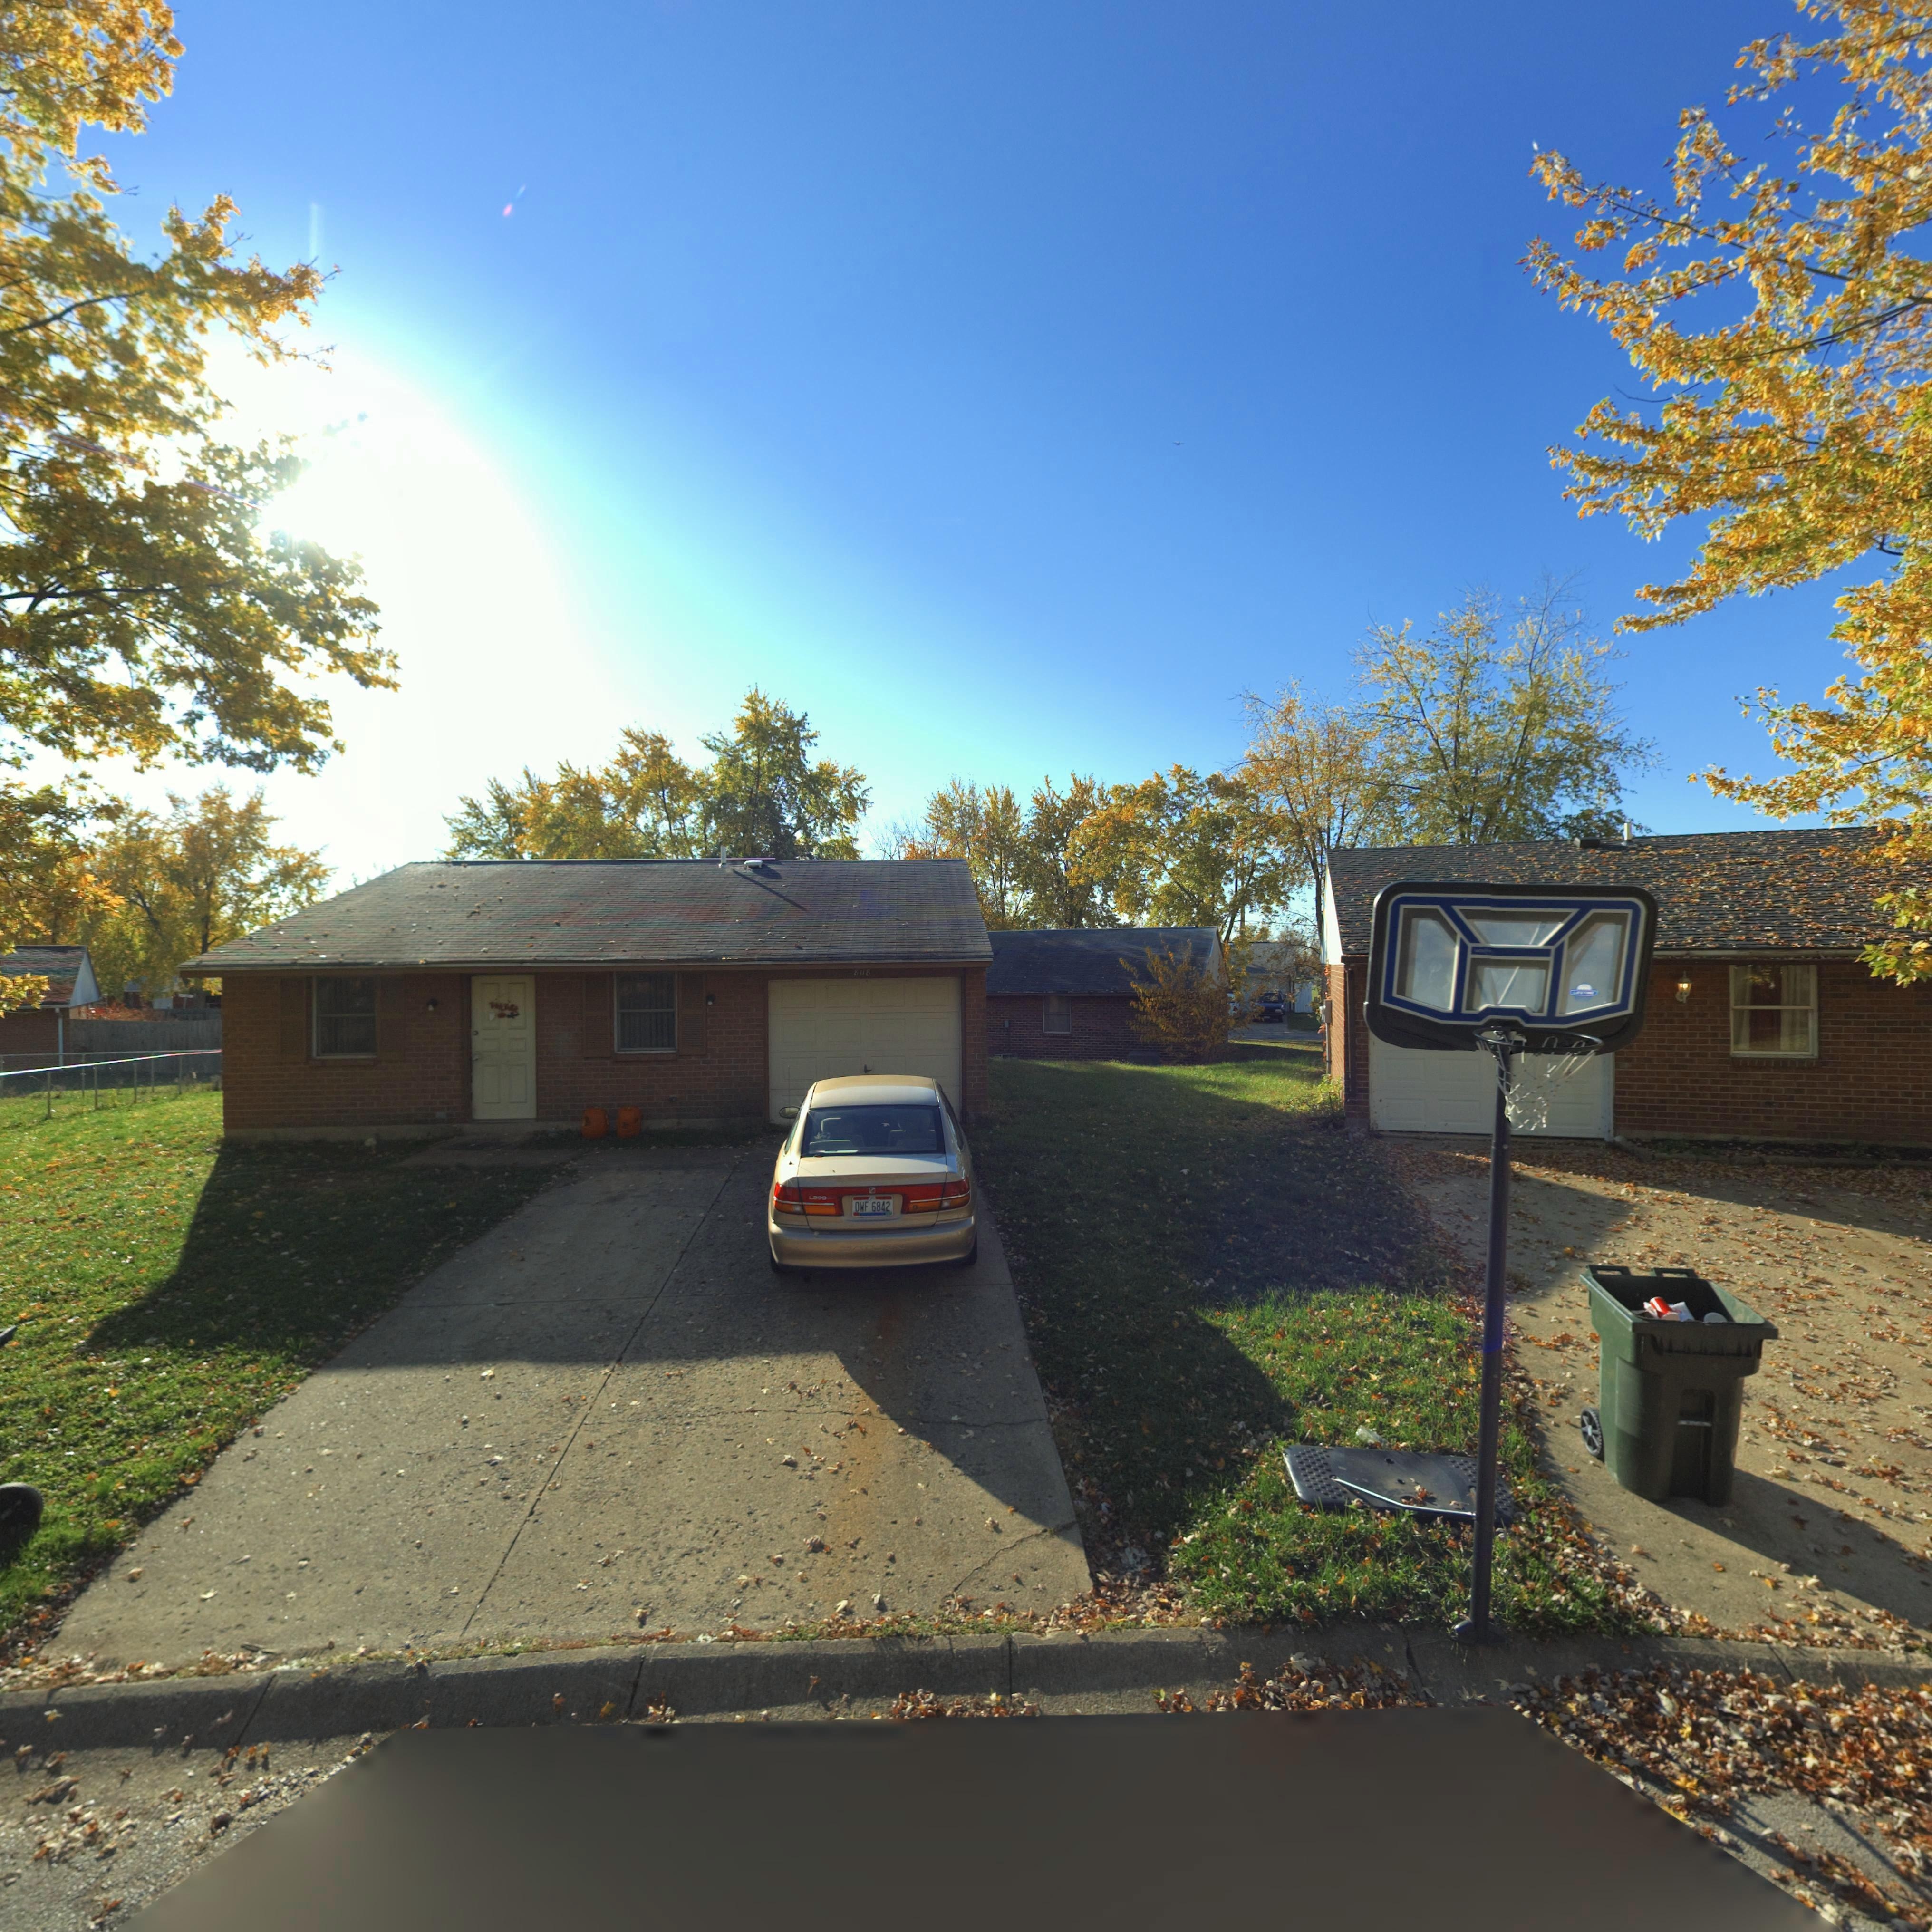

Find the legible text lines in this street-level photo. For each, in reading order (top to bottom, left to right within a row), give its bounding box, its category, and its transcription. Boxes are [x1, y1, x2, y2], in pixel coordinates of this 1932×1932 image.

[852, 968, 872, 977] StreetNumber: 8118